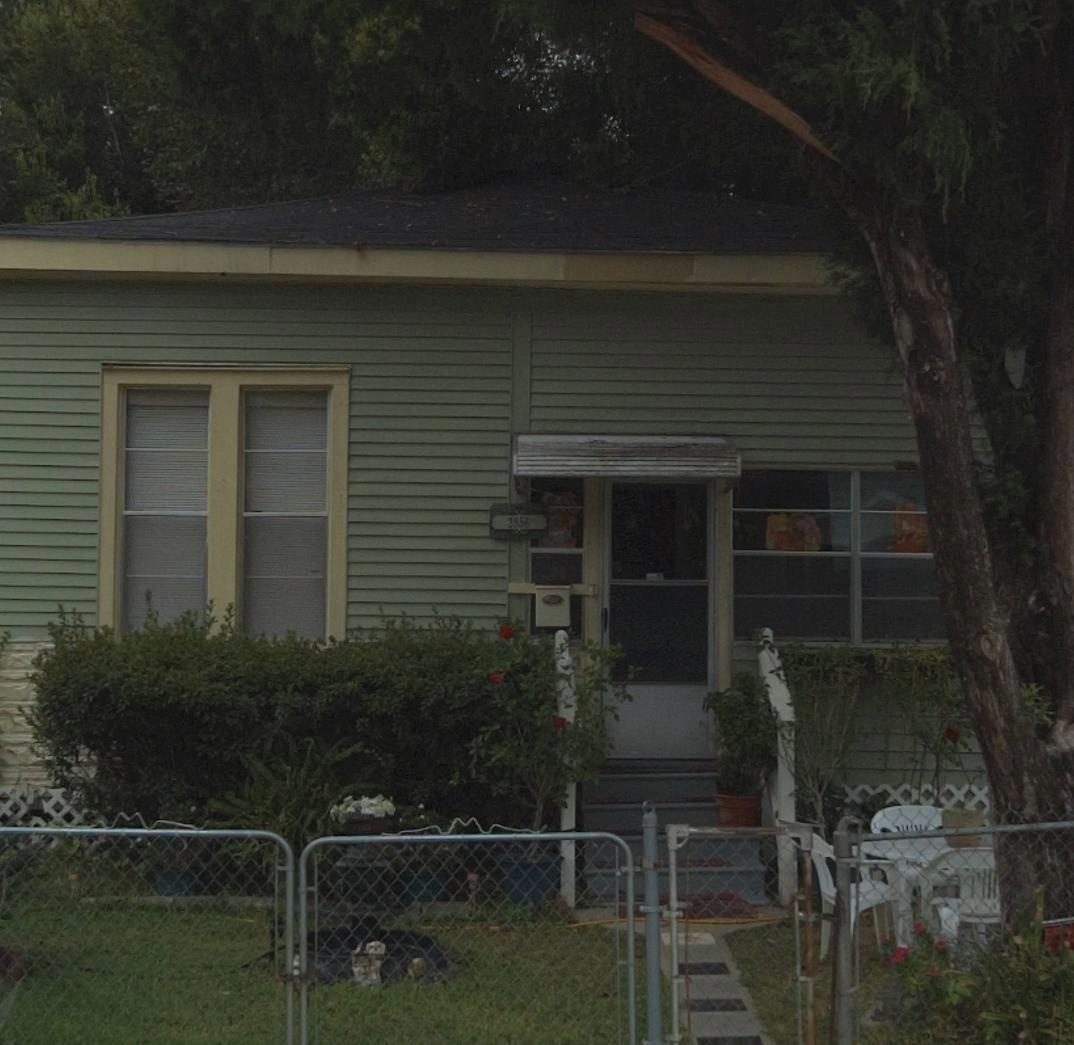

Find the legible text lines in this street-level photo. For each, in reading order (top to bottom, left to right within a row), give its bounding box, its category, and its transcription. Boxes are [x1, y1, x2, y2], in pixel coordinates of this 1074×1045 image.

[507, 516, 530, 528] StreetNumber: 2556